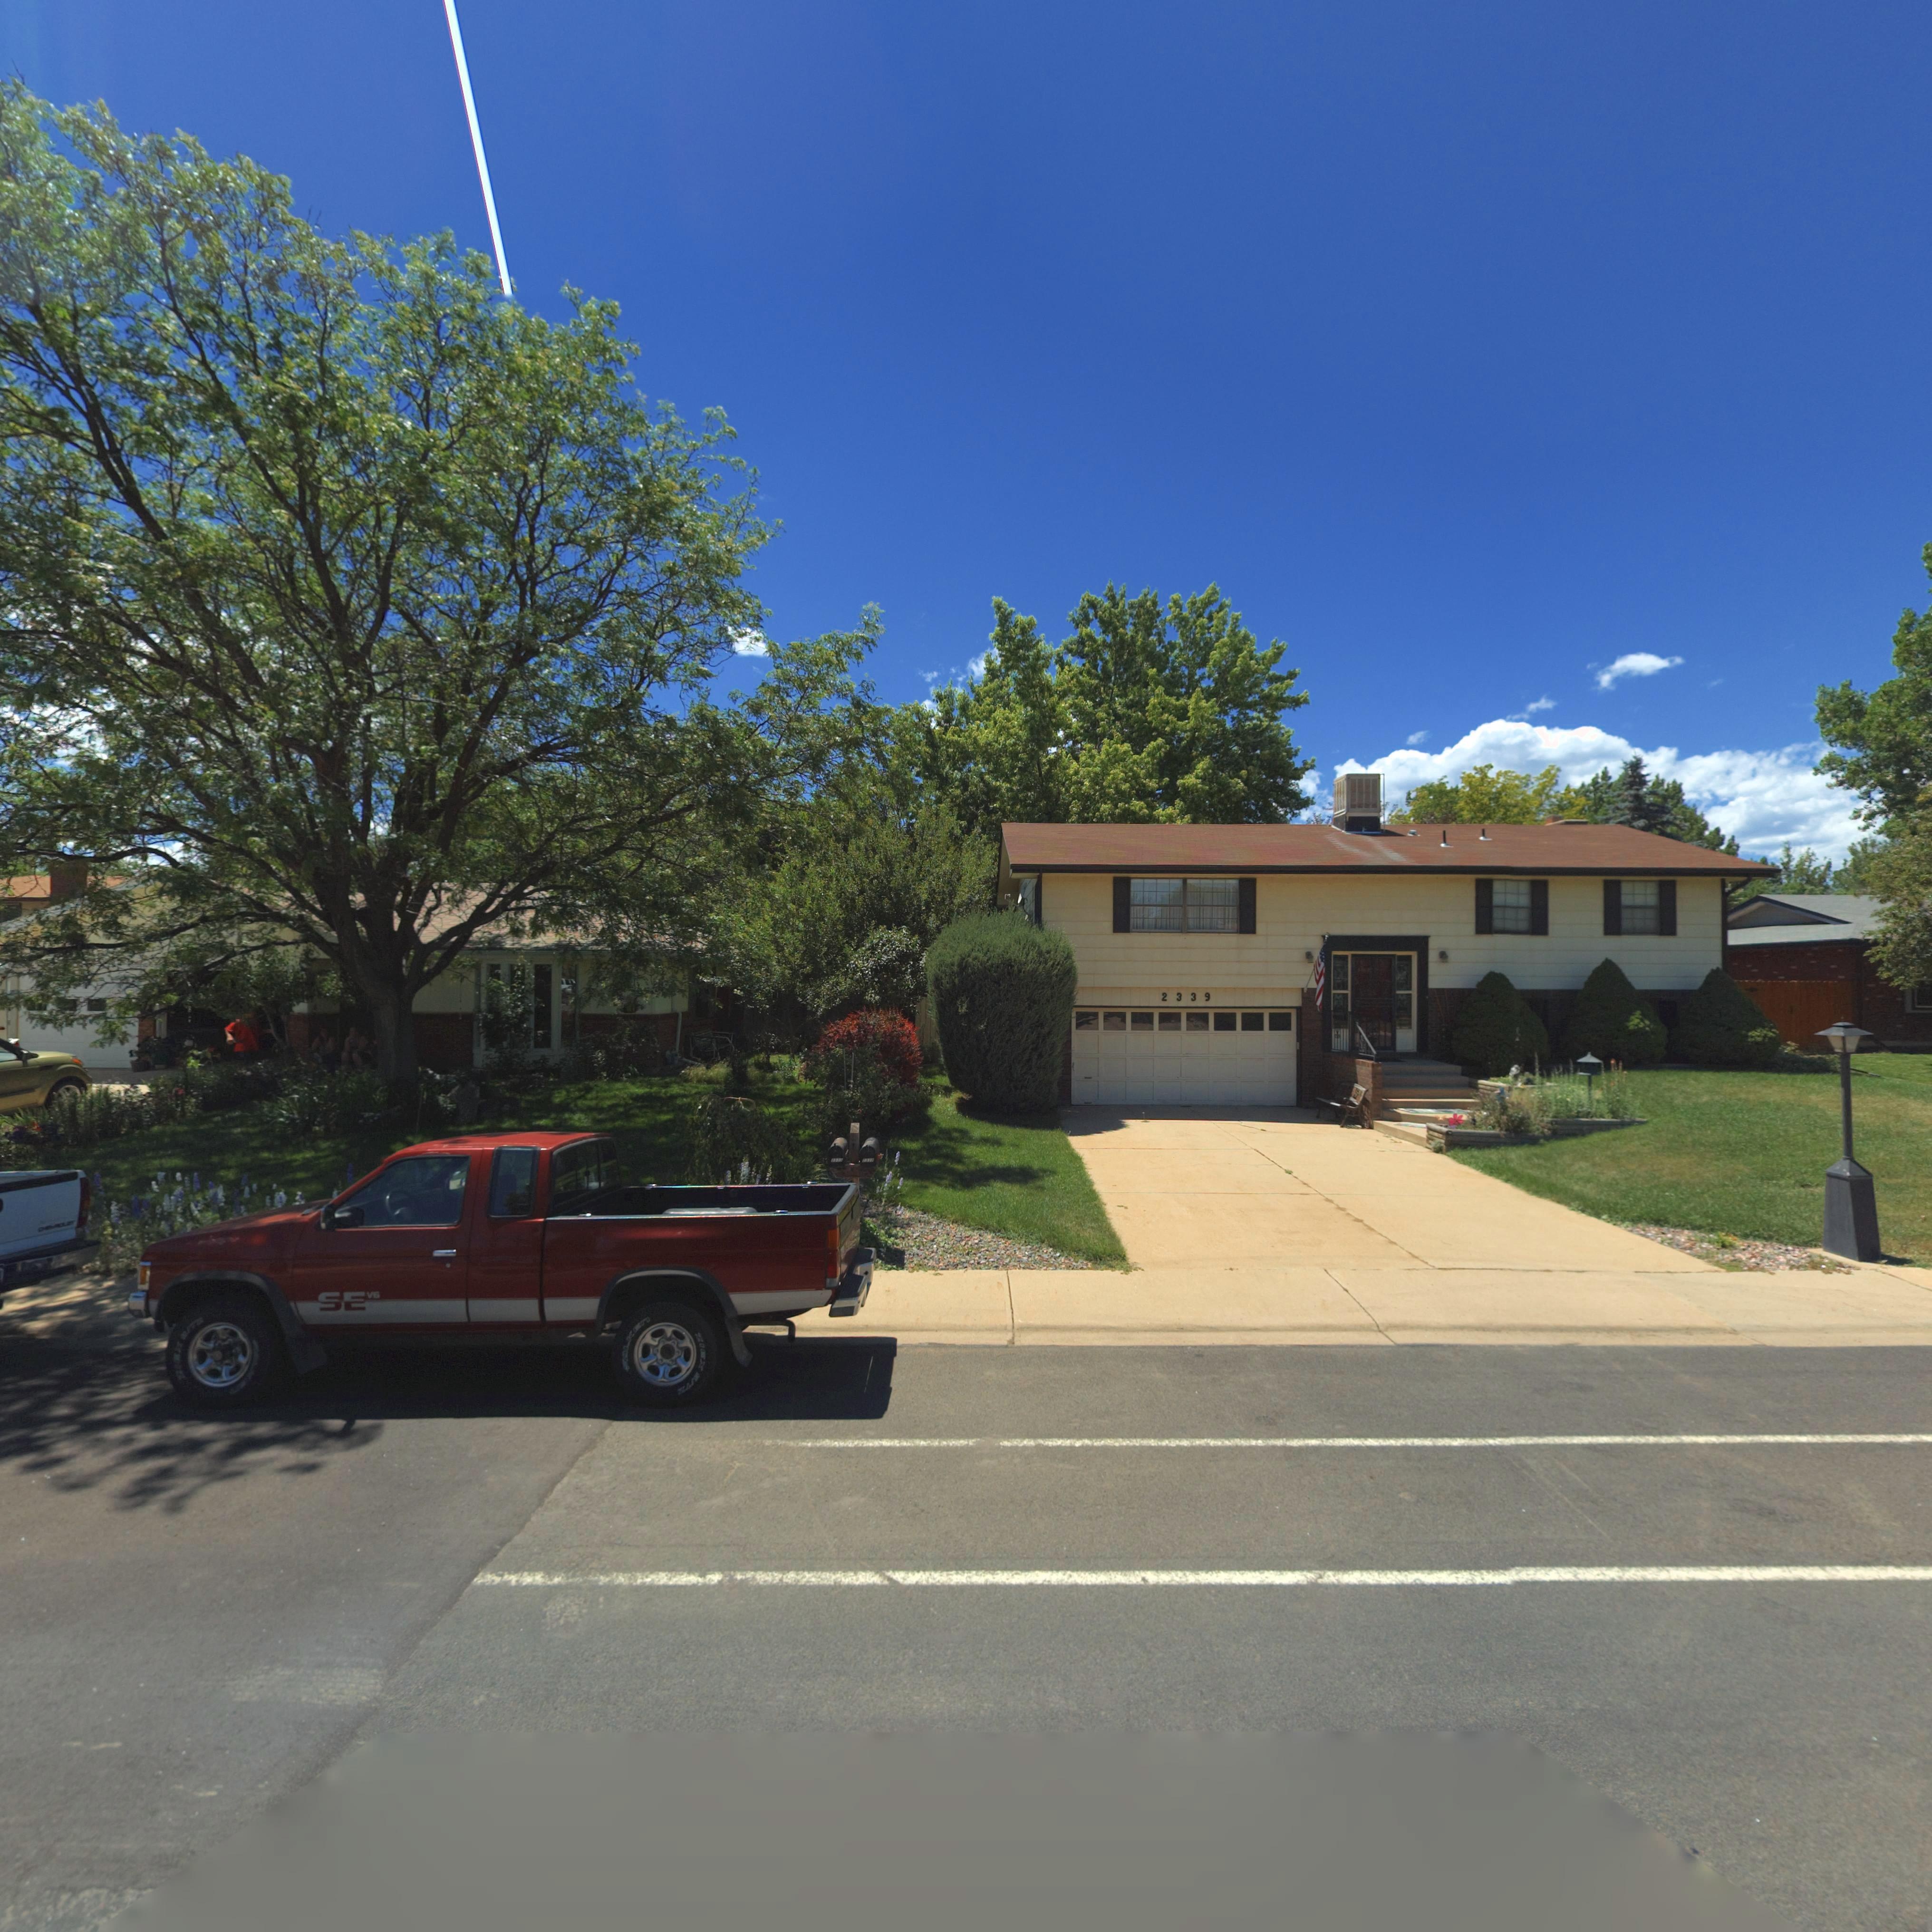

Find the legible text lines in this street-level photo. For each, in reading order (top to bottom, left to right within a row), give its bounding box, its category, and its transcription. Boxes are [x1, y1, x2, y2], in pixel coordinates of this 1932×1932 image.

[1161, 992, 1211, 1002] StreetNumber: 2339